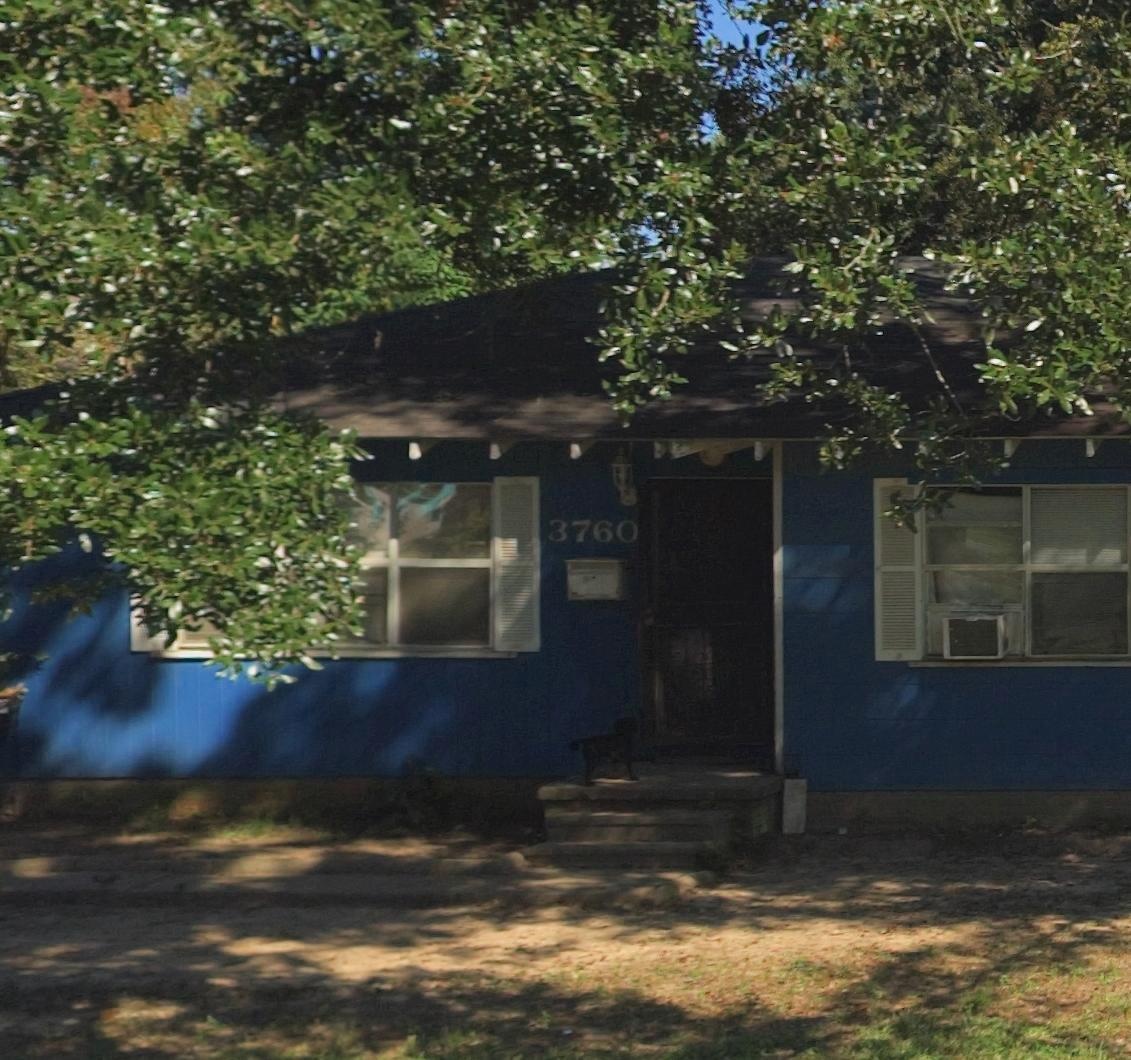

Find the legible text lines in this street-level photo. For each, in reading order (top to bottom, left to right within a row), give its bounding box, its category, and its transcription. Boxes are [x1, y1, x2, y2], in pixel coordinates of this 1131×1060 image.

[546, 516, 642, 545] StreetNumber: 3760